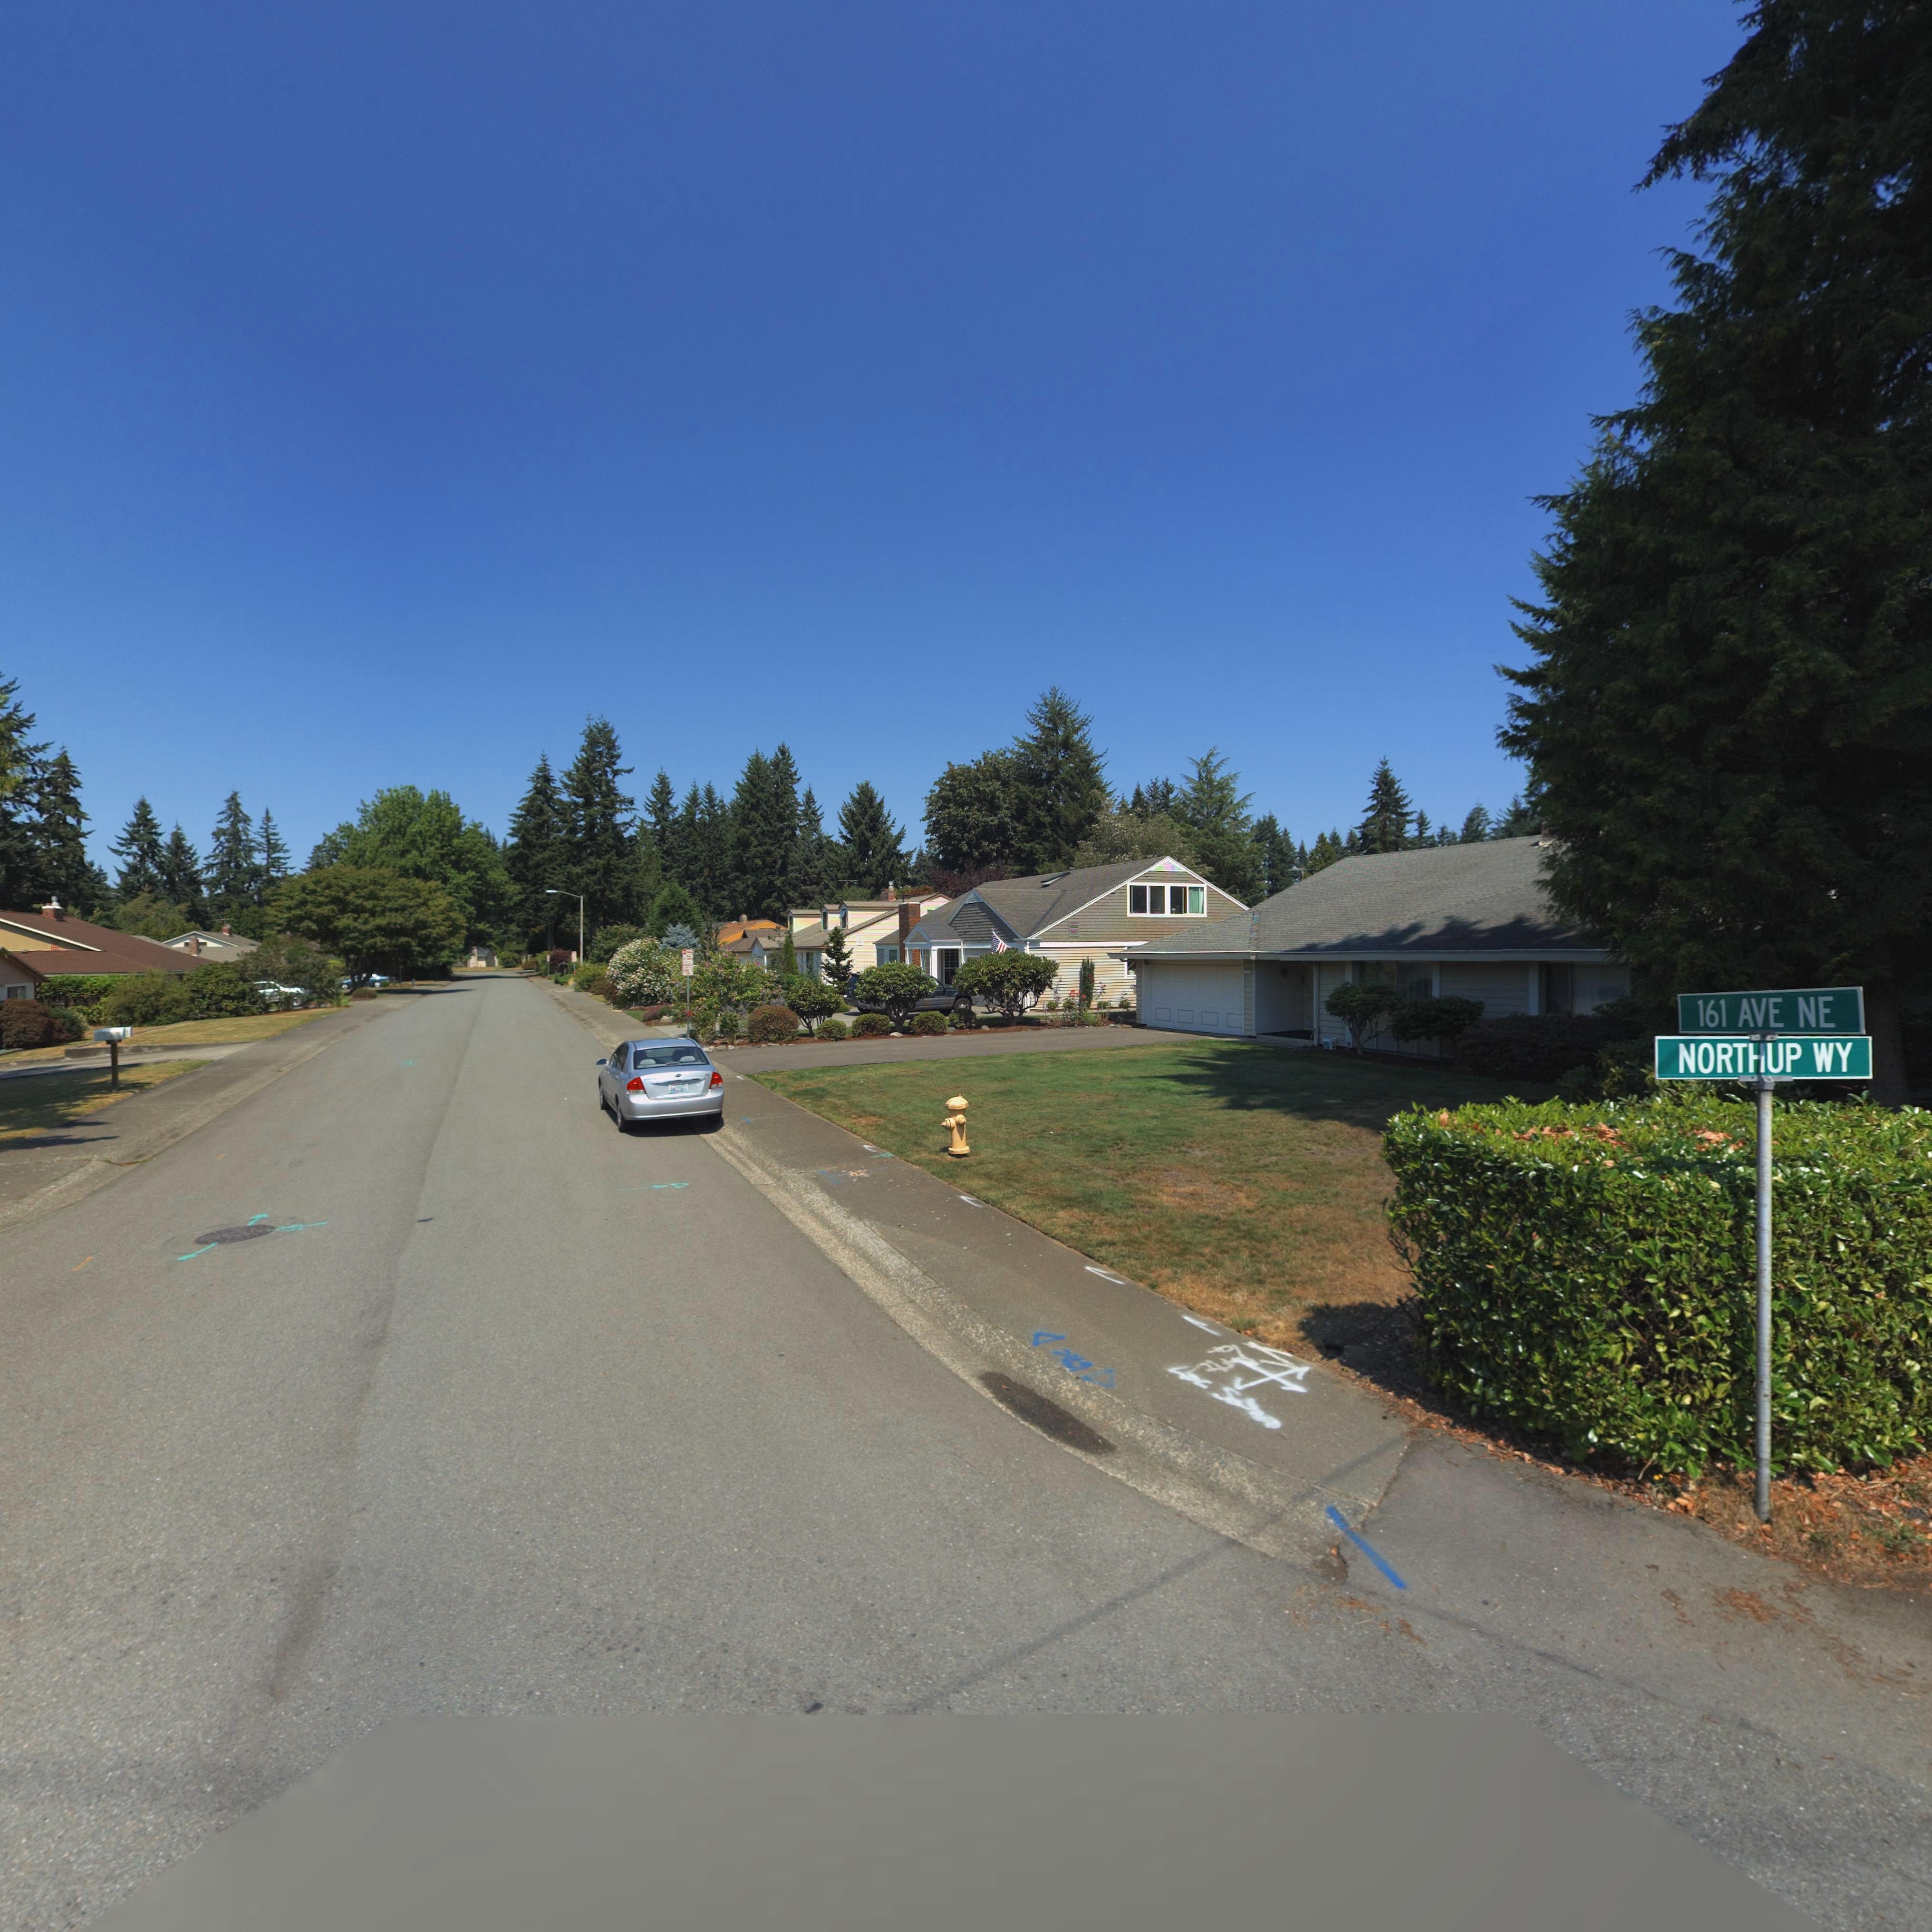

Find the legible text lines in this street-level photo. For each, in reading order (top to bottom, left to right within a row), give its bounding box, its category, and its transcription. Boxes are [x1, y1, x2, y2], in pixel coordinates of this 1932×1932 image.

[1697, 996, 1836, 1028] StreetName: 161A/ENE
[1678, 1041, 1856, 1073] StreetName: NORTHUP WY